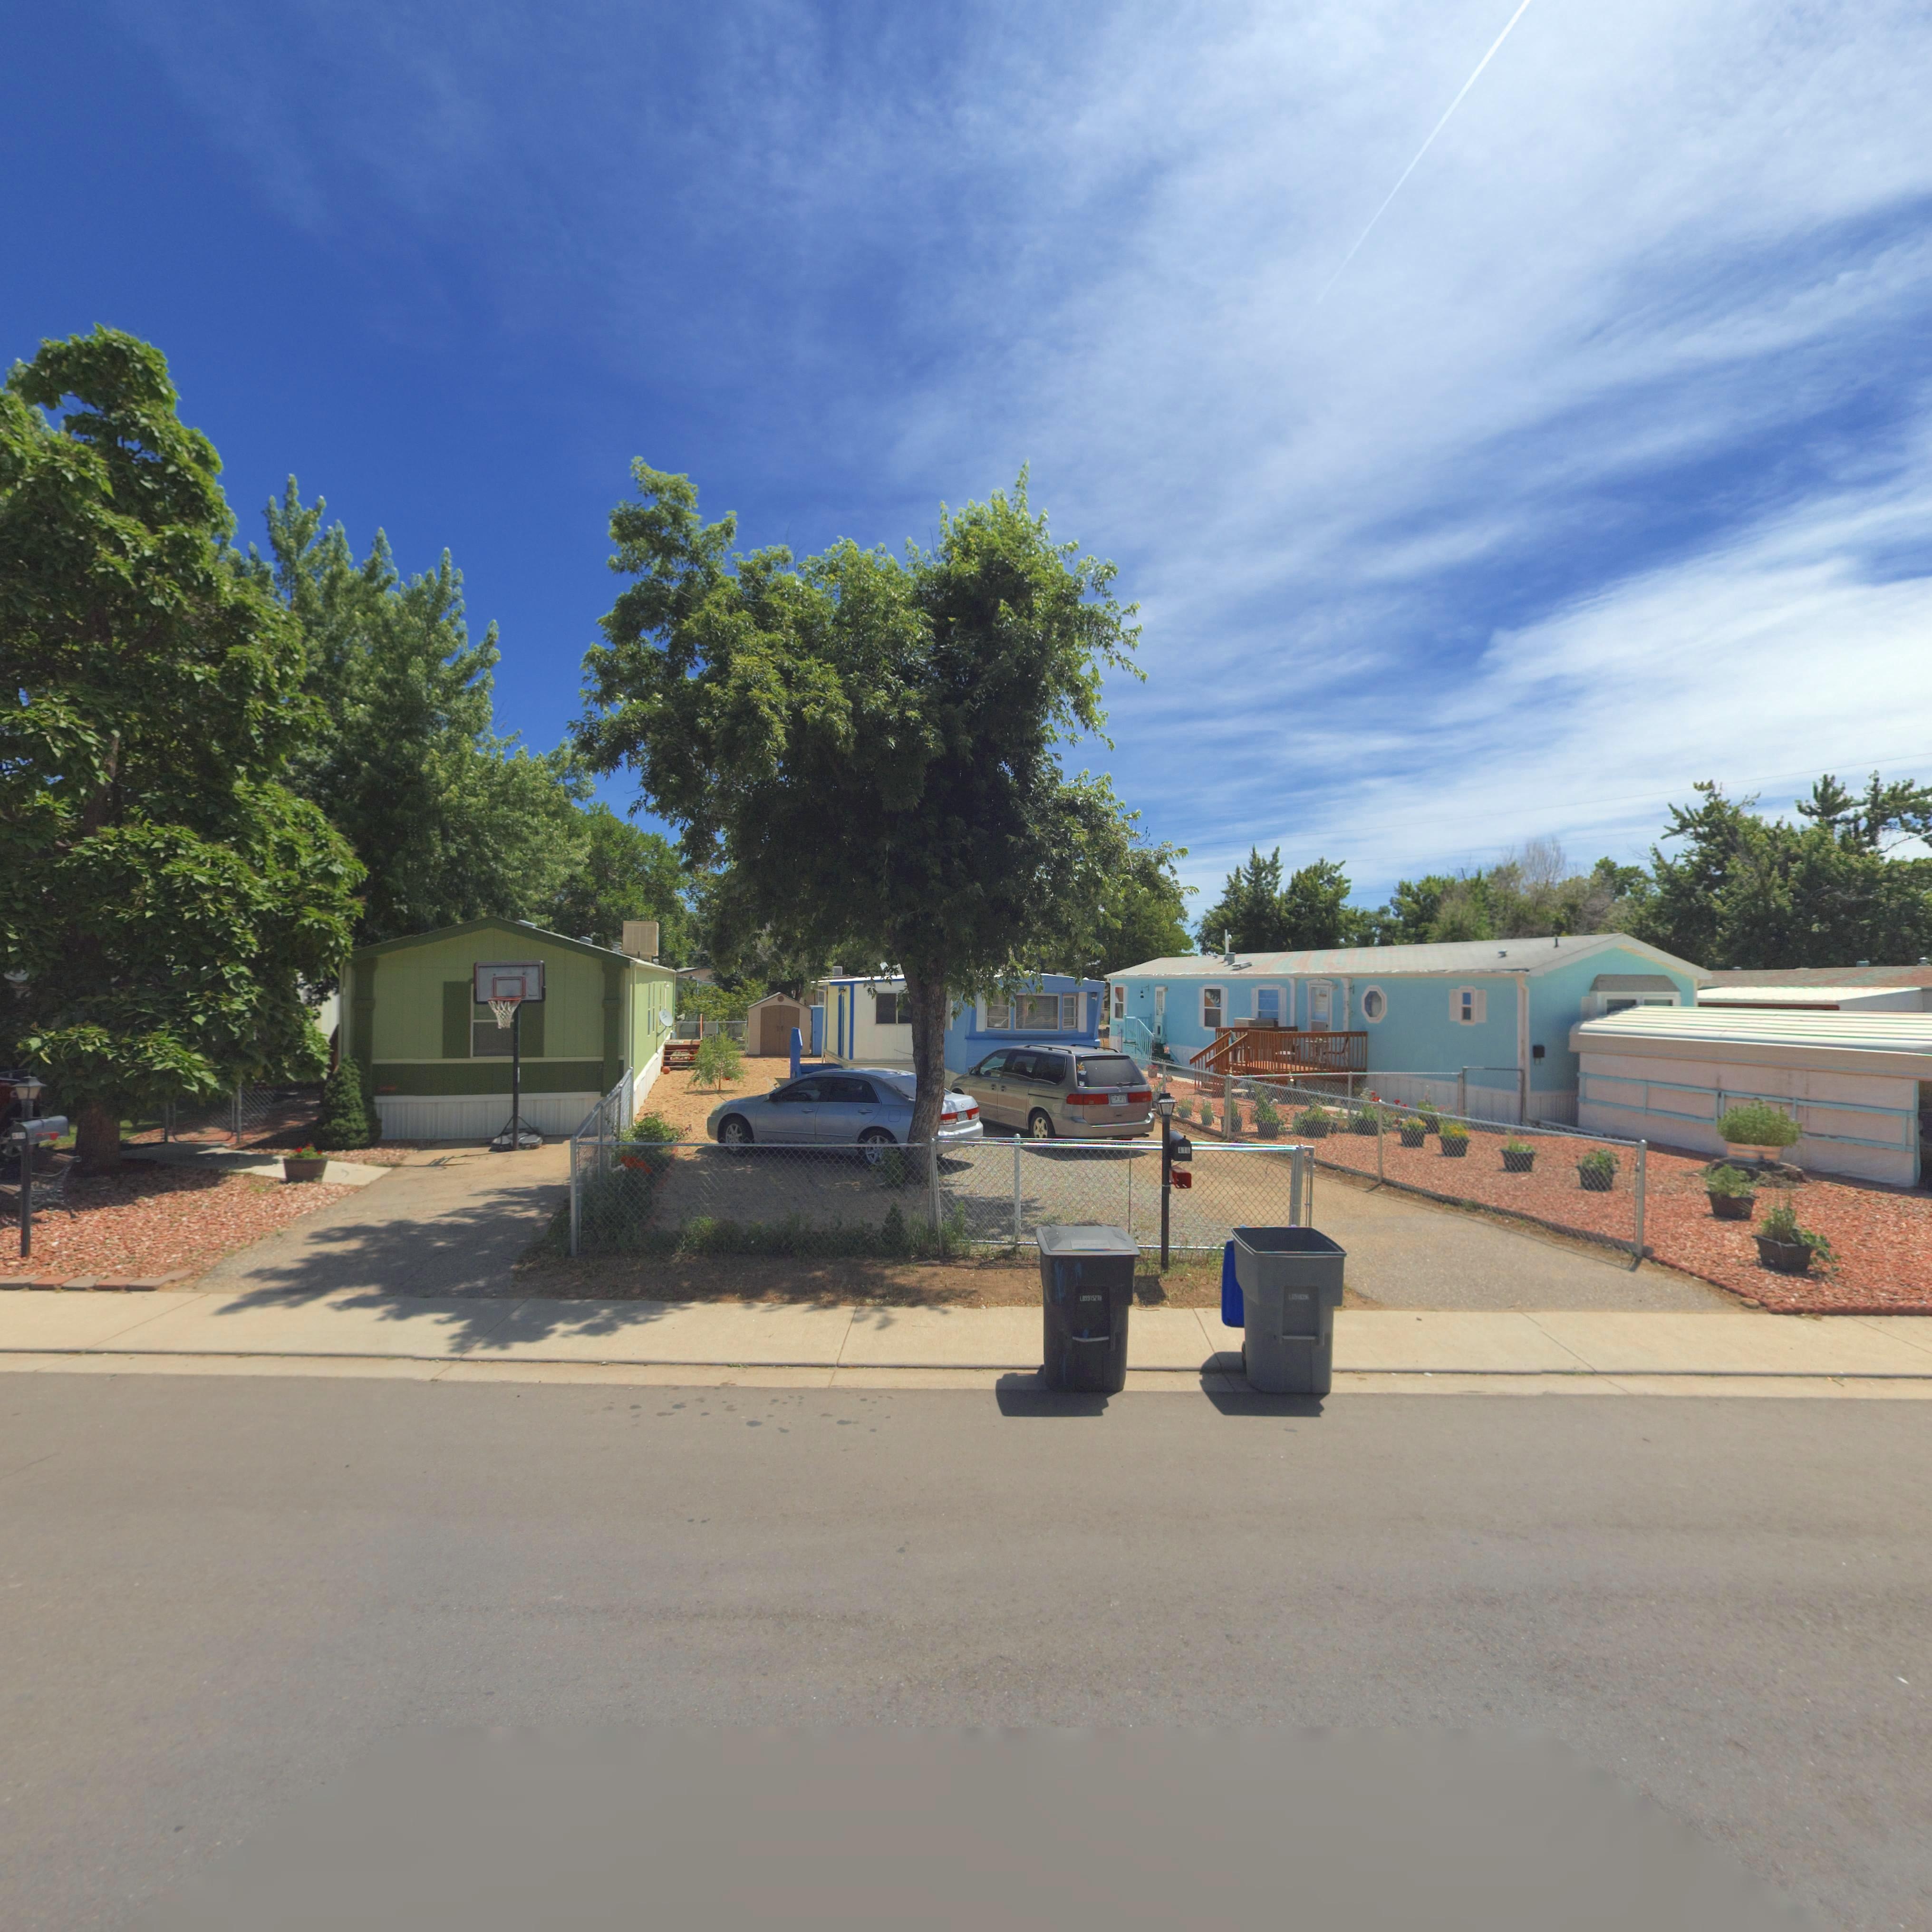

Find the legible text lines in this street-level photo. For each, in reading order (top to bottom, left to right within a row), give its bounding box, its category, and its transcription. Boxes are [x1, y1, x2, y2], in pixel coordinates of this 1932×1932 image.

[11, 1132, 25, 1139] StreetNumber: 41*
[1178, 1147, 1190, 1153] StreetNumber: 416